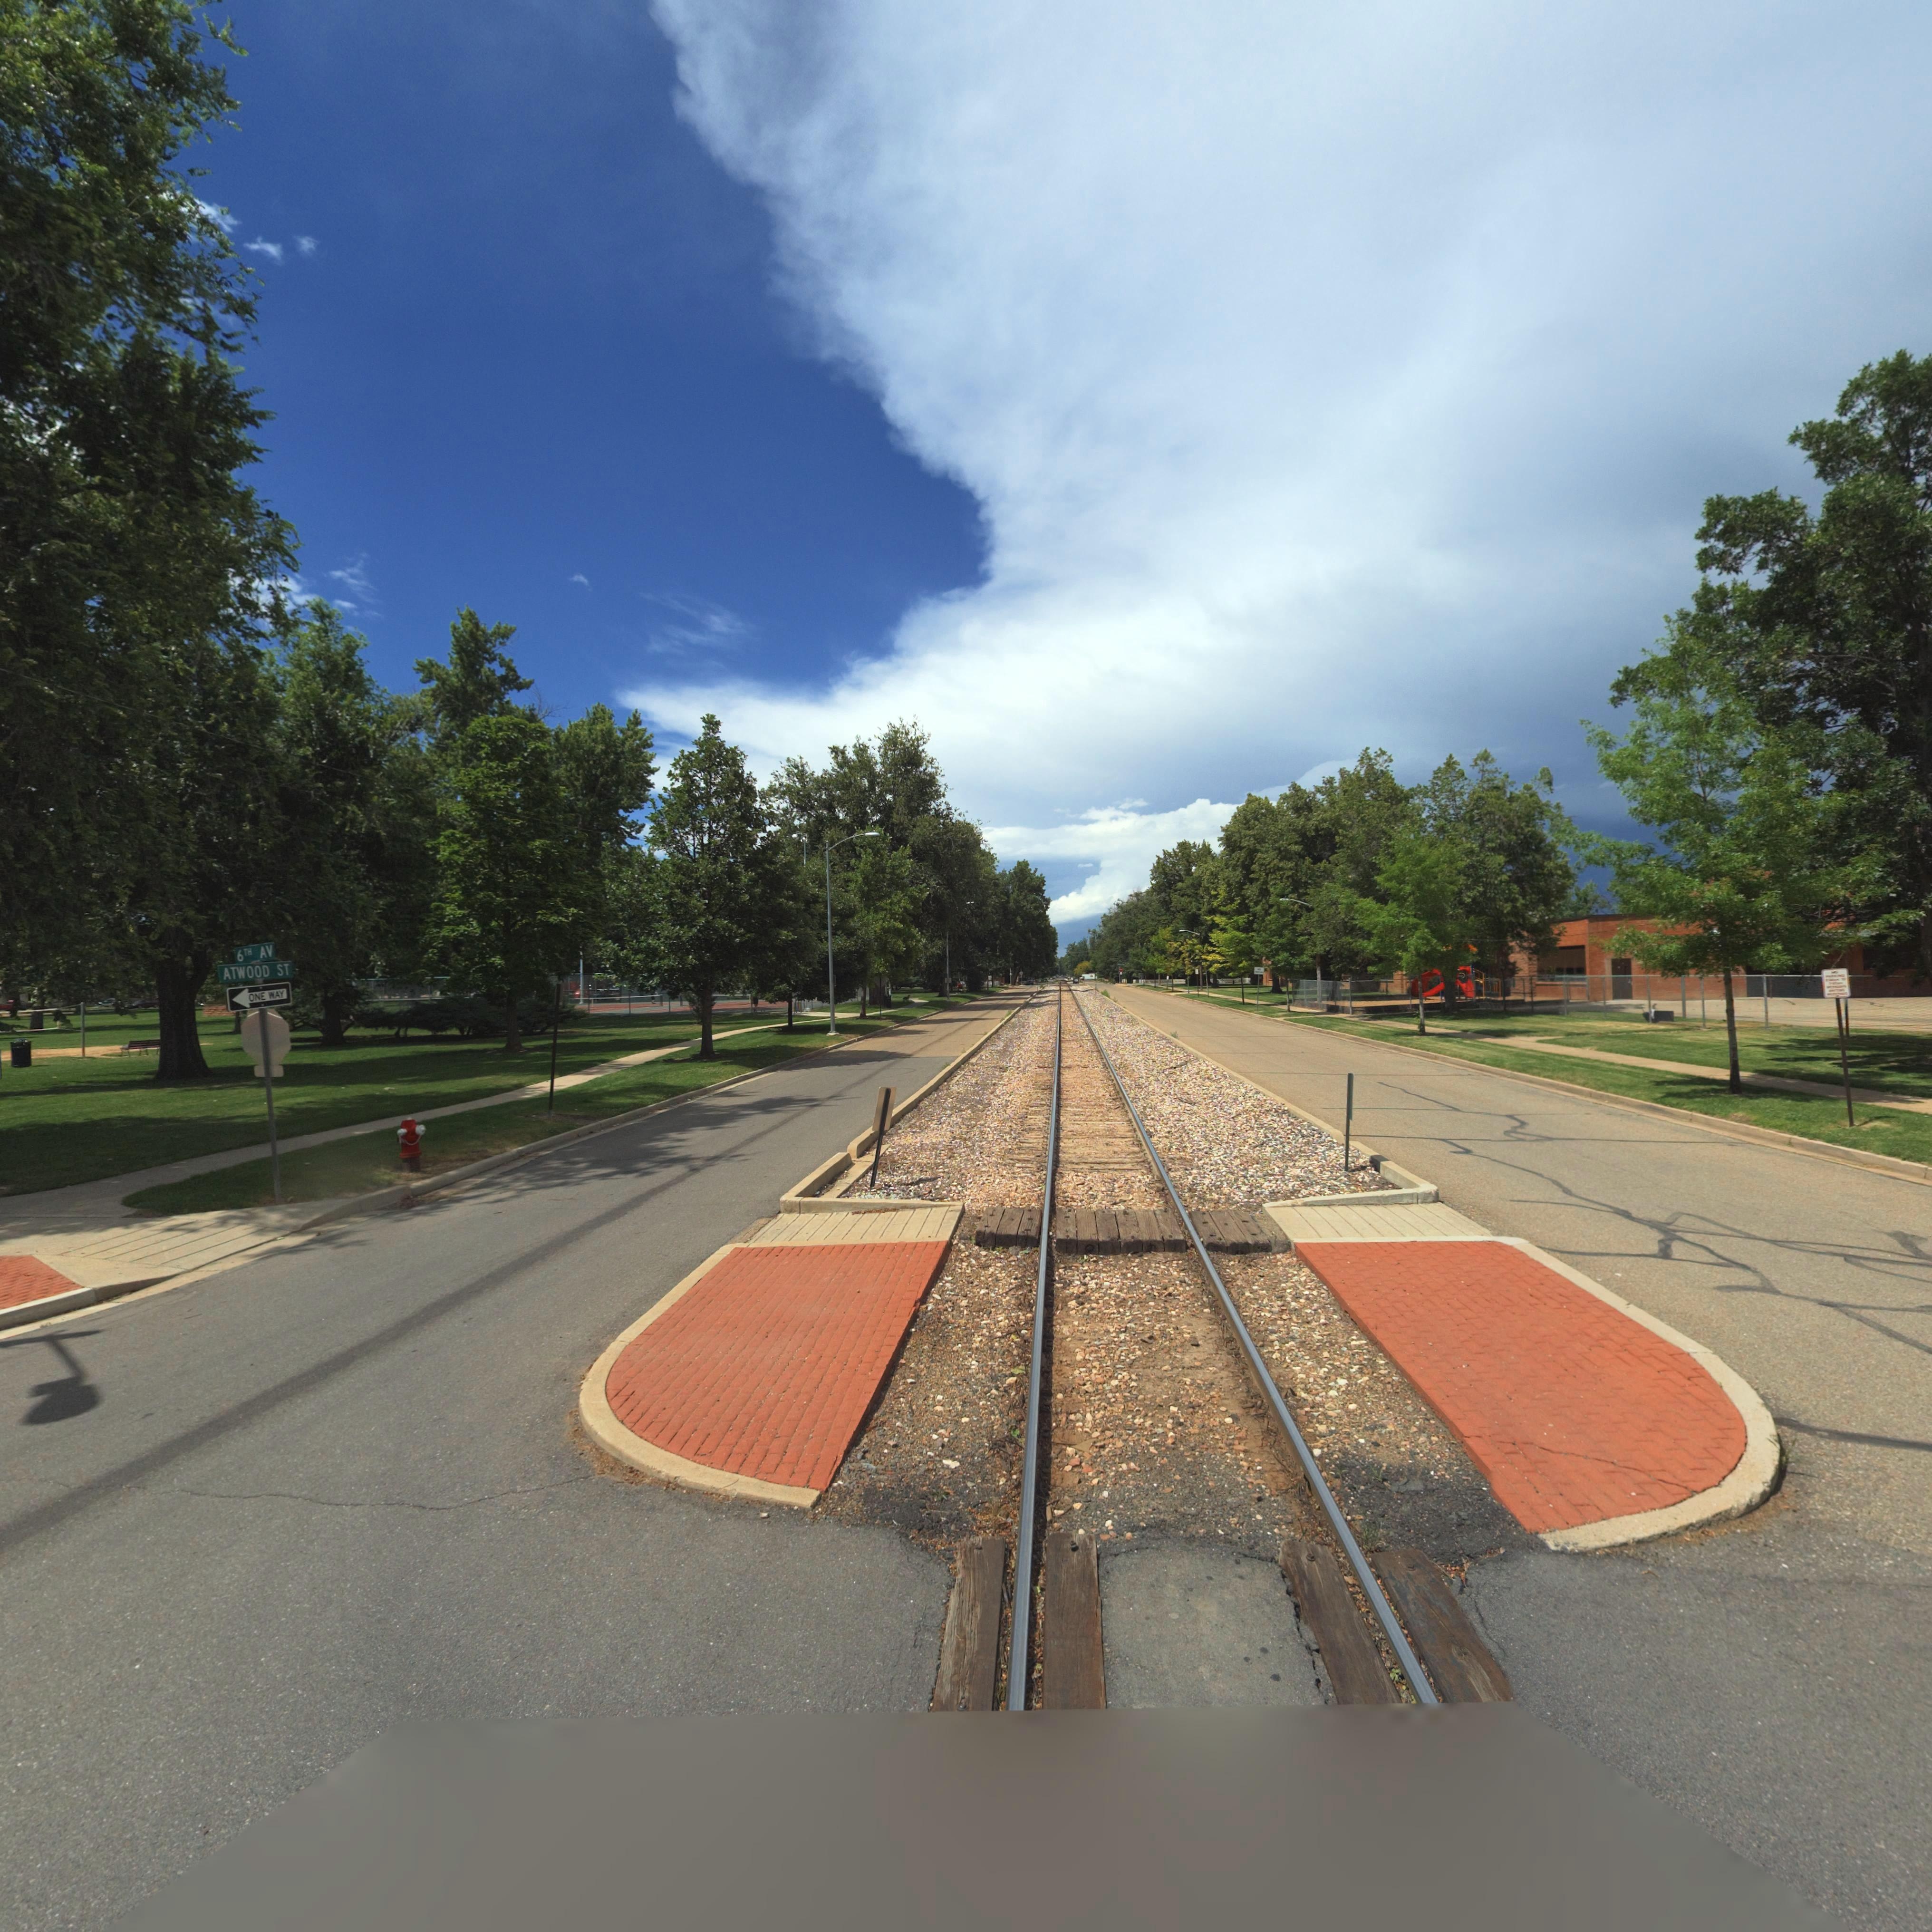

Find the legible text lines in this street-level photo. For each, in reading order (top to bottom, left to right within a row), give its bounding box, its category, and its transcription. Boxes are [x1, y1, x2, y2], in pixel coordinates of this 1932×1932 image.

[236, 944, 273, 962] StreetName: 6TH AV
[223, 963, 290, 980] StreetName: ATWOOD ST